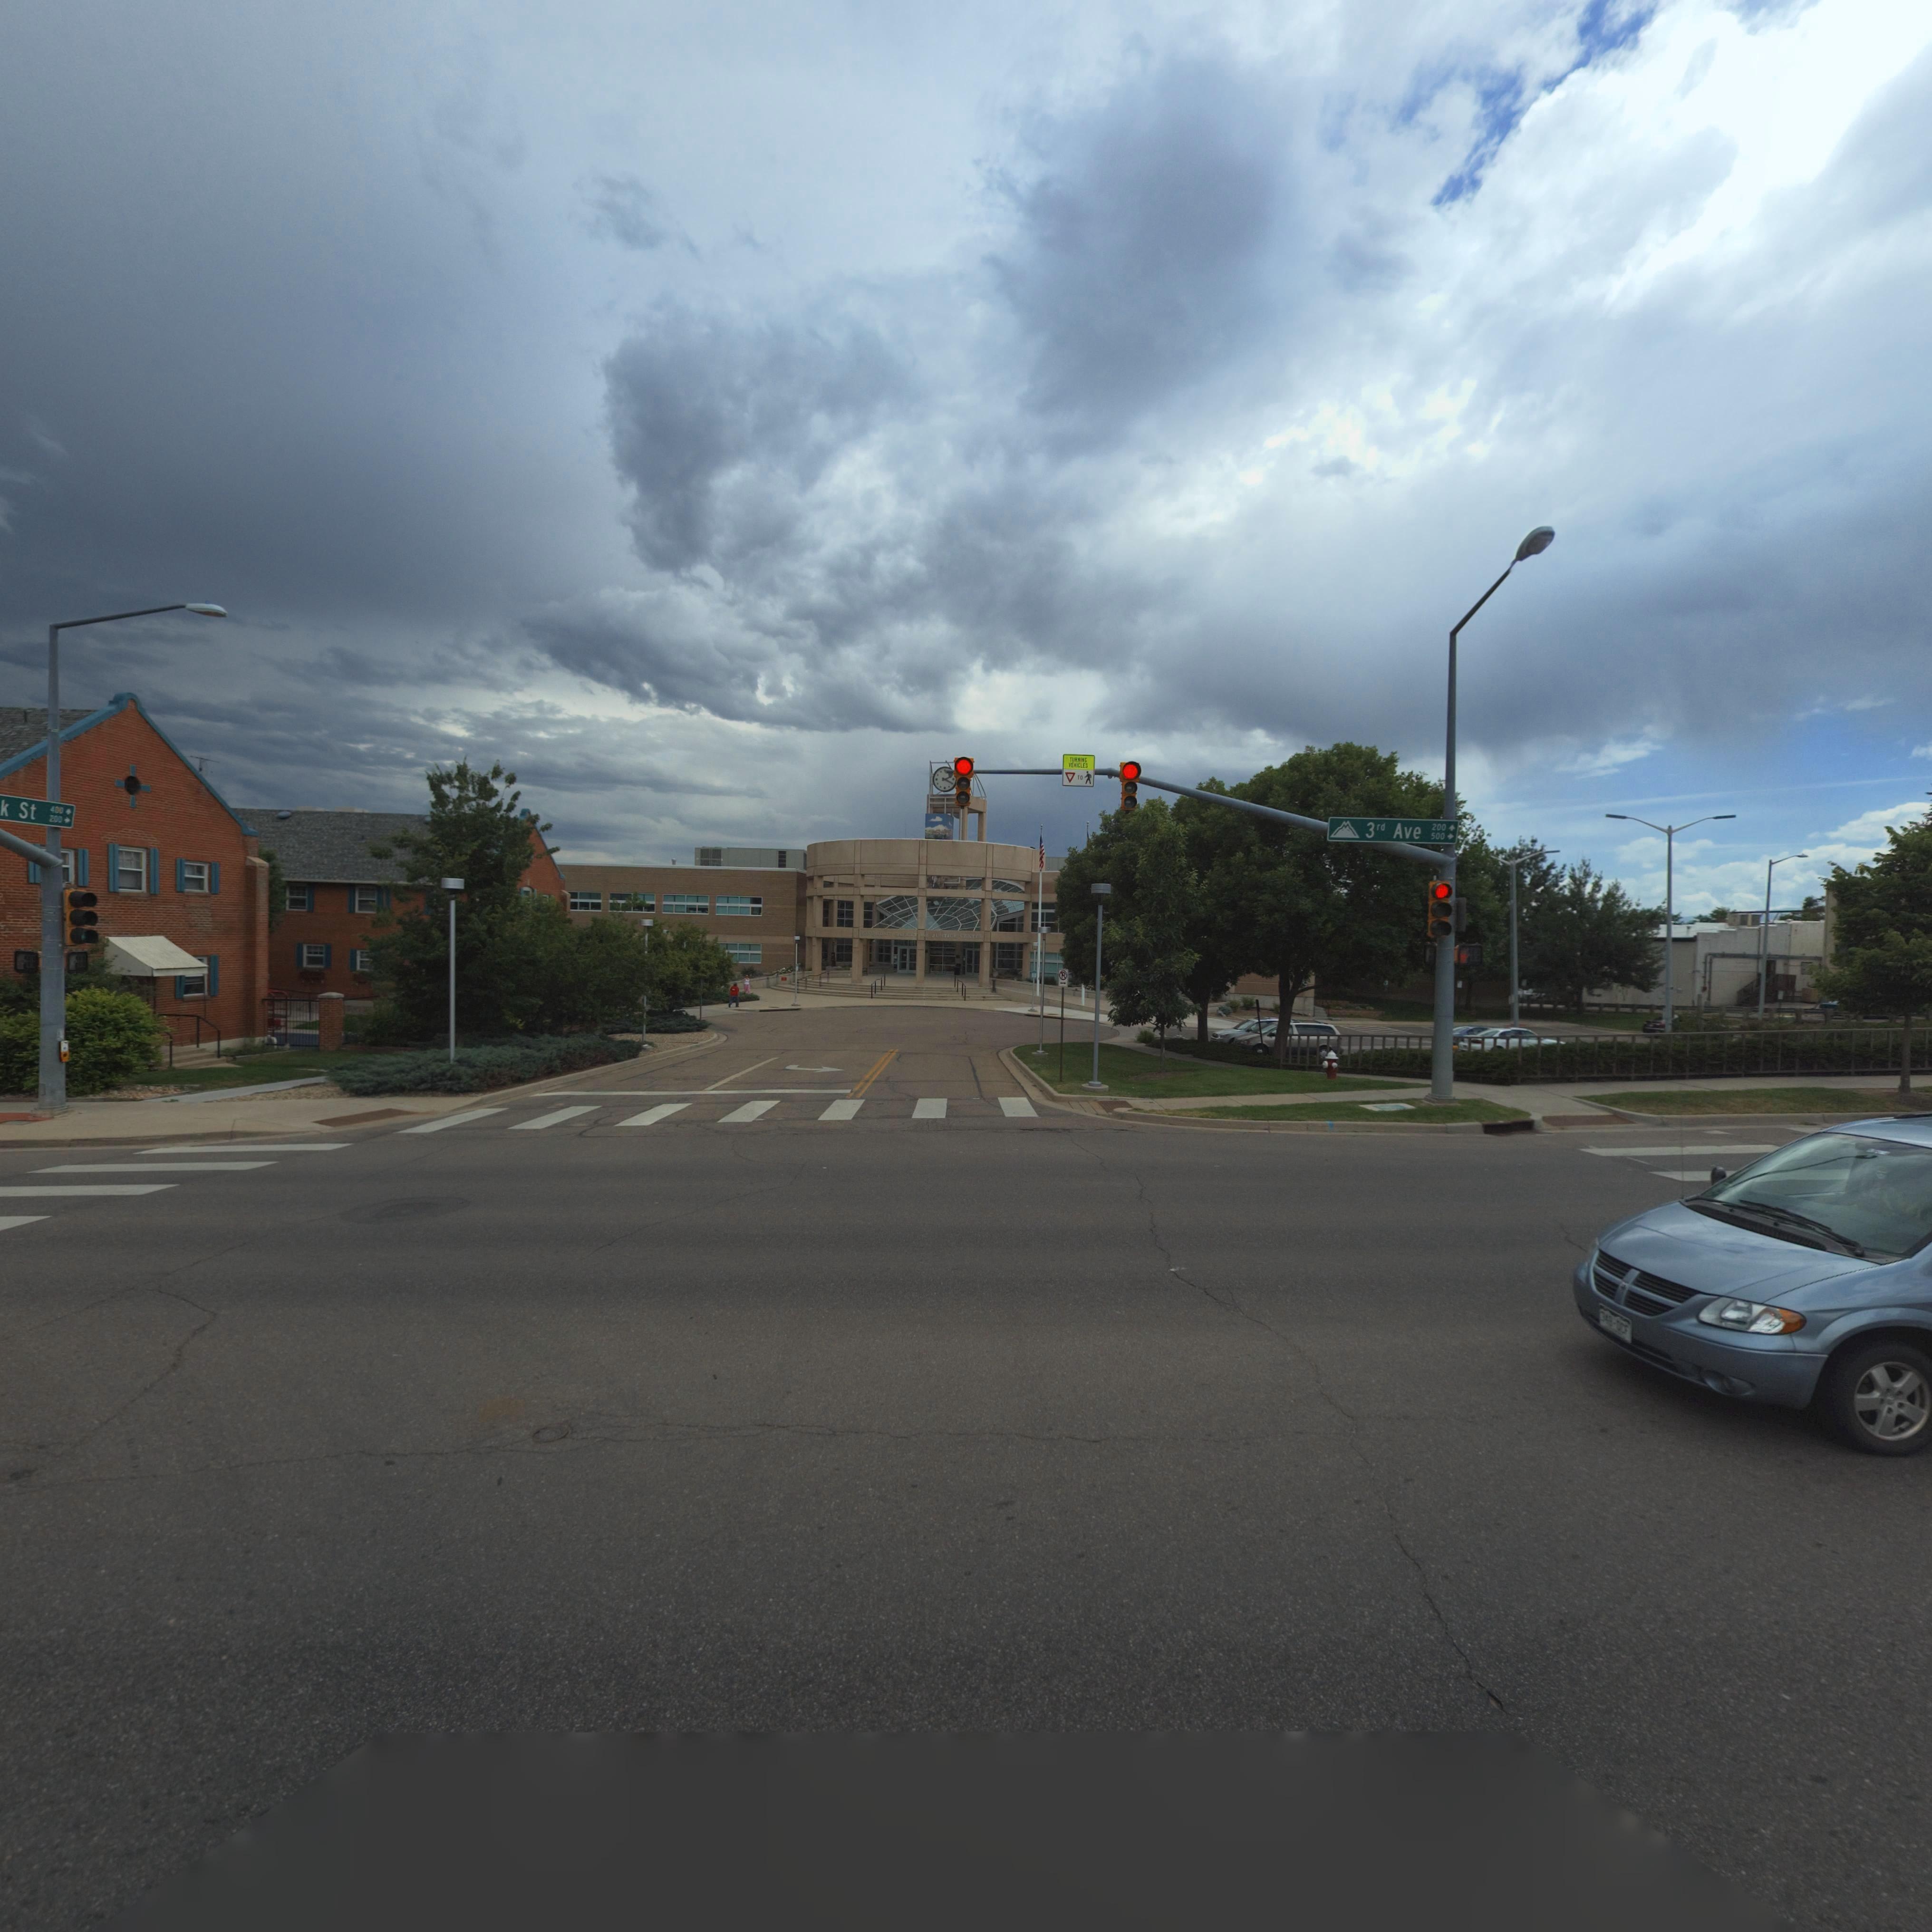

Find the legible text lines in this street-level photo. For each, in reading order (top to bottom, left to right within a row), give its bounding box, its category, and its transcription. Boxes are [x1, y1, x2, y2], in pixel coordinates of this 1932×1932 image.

[0, 799, 36, 820] StreetName: k St
[48, 806, 64, 814] StreetNumberRange: 400
[49, 814, 71, 823] StreetNumberRange: 200->
[1365, 821, 1421, 839] StreetName: 3rd Ave
[1430, 823, 1446, 831] StreetNumberRange: 200
[1431, 832, 1455, 840] StreetNumberRange: 500->
[860, 931, 983, 938] BusinessName: LONGMONT S***** AND JUSTICE CENTER